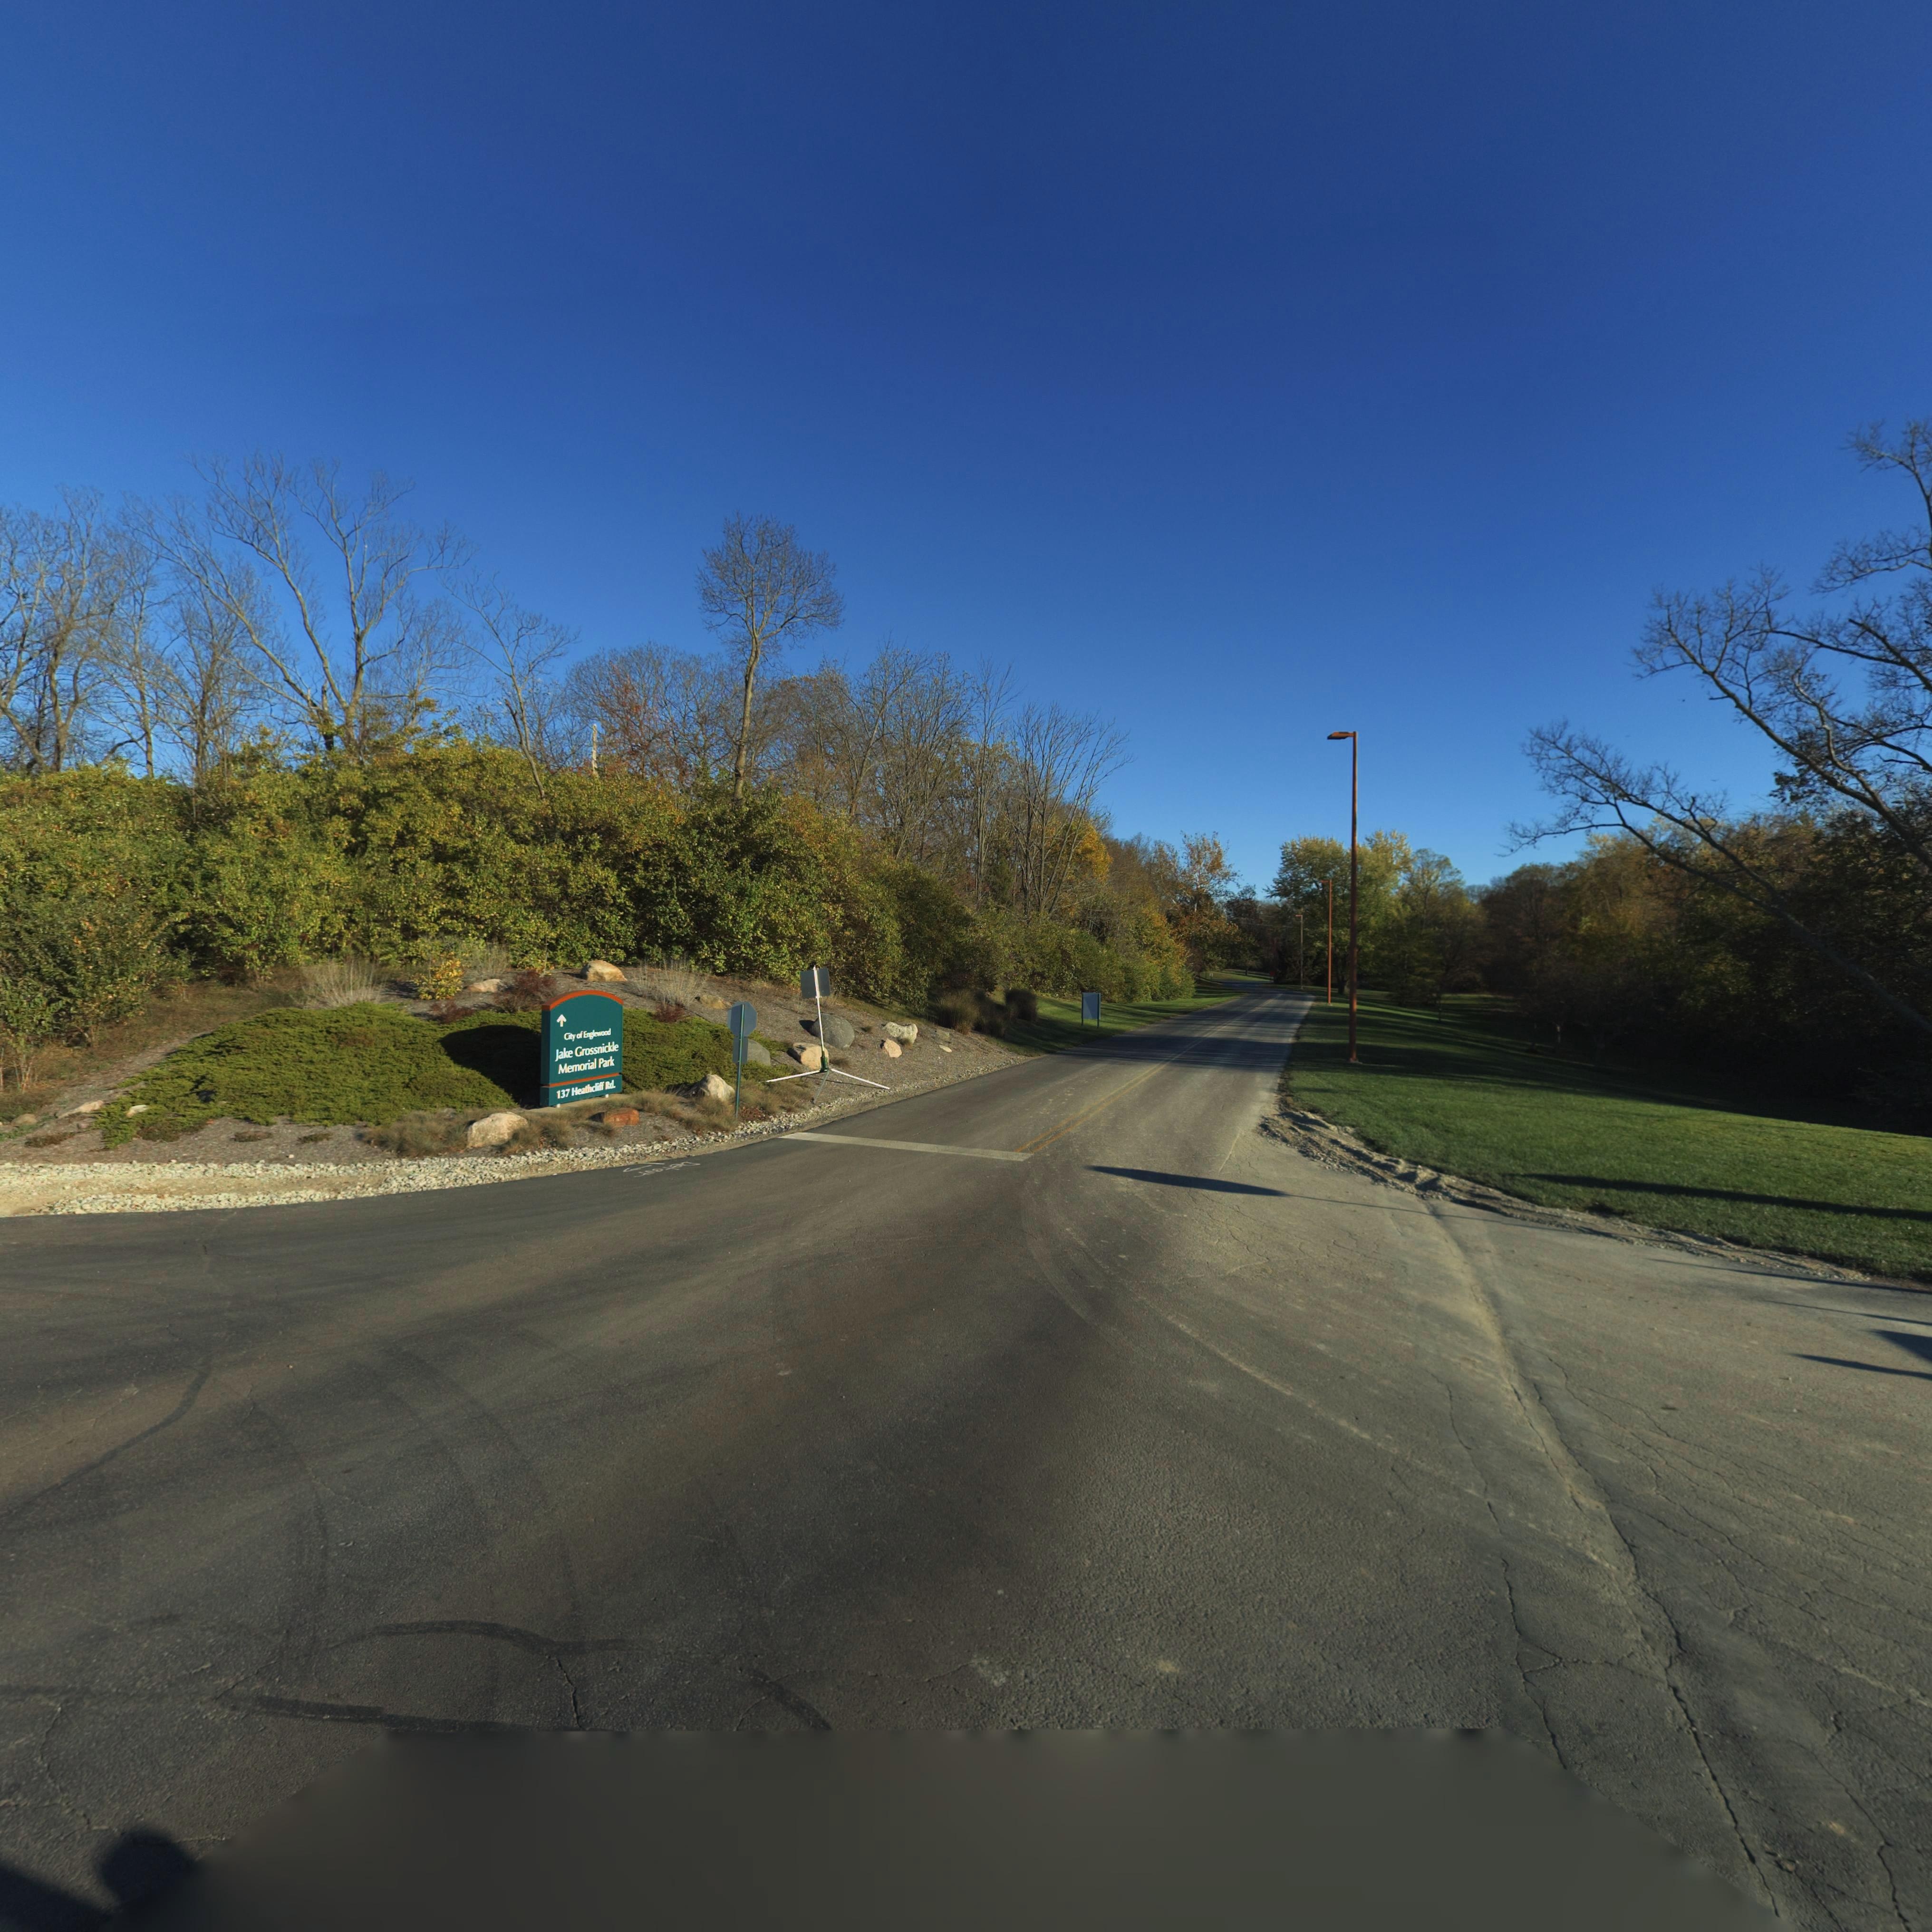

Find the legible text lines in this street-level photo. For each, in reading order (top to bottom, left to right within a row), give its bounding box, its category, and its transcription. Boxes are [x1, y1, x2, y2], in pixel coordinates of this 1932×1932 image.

[555, 1088, 571, 1100] StreetNumber: 137